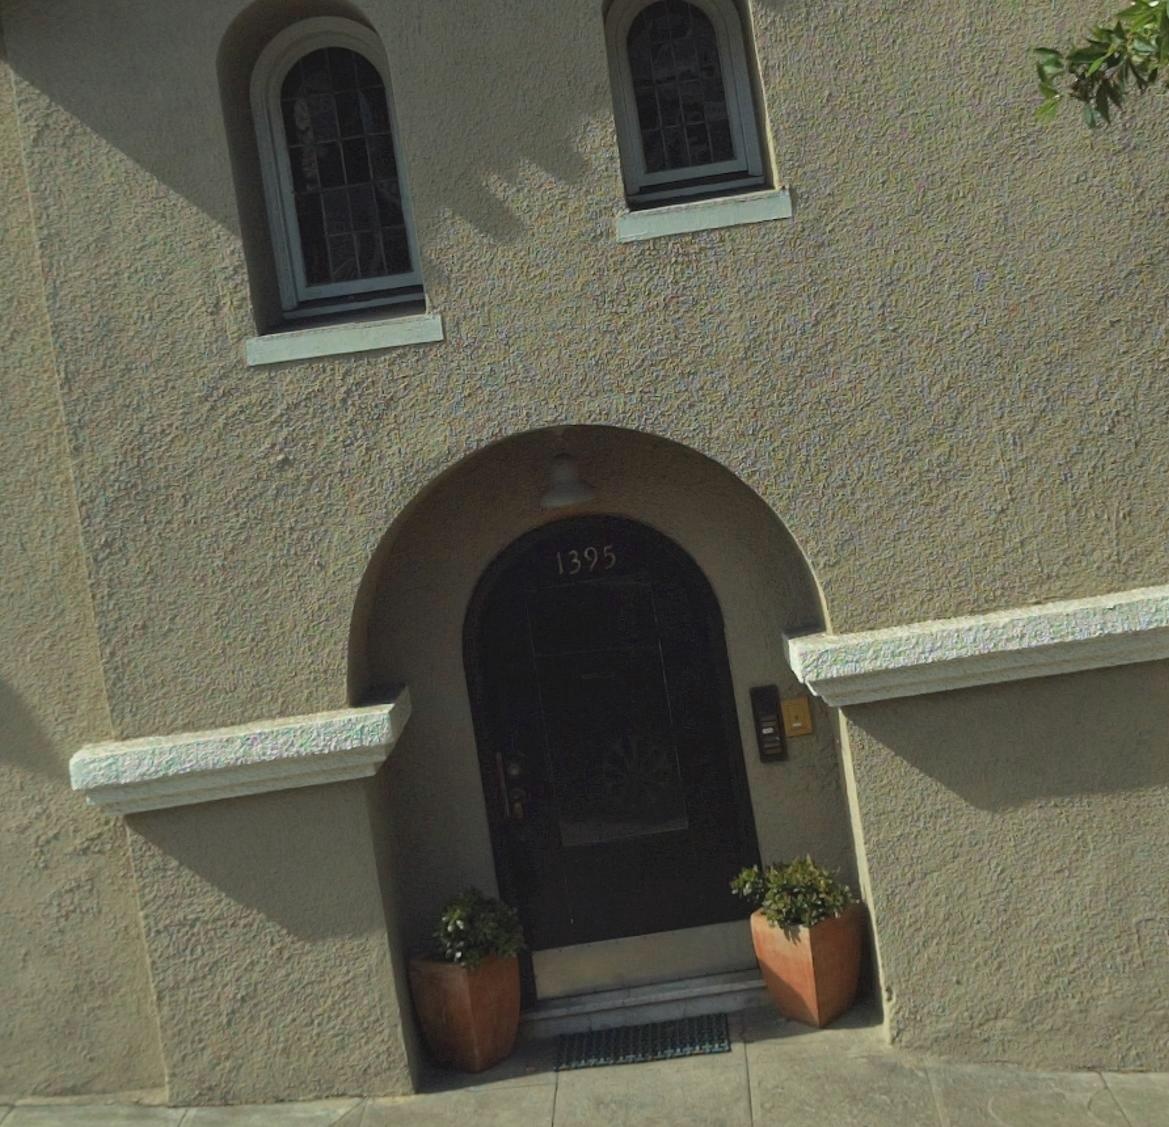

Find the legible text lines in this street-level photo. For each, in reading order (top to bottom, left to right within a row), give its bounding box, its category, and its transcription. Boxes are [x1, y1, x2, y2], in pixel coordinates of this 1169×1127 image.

[552, 539, 620, 580] StreetNumber: 1395